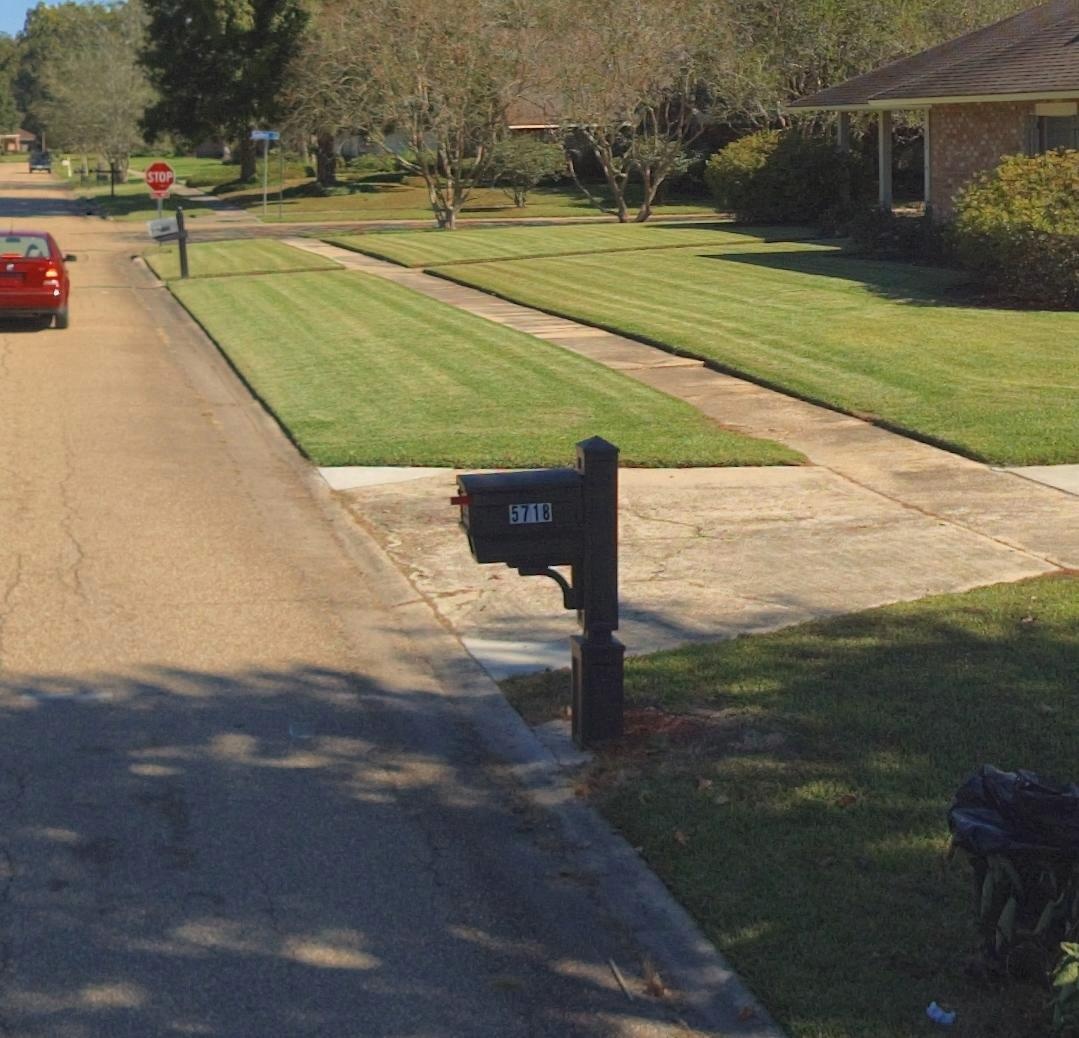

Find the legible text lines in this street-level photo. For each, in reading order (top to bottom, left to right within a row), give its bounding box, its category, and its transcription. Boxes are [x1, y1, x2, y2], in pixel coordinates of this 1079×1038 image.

[145, 168, 176, 186] None: STOP
[509, 502, 552, 525] StreetNumber: 5718